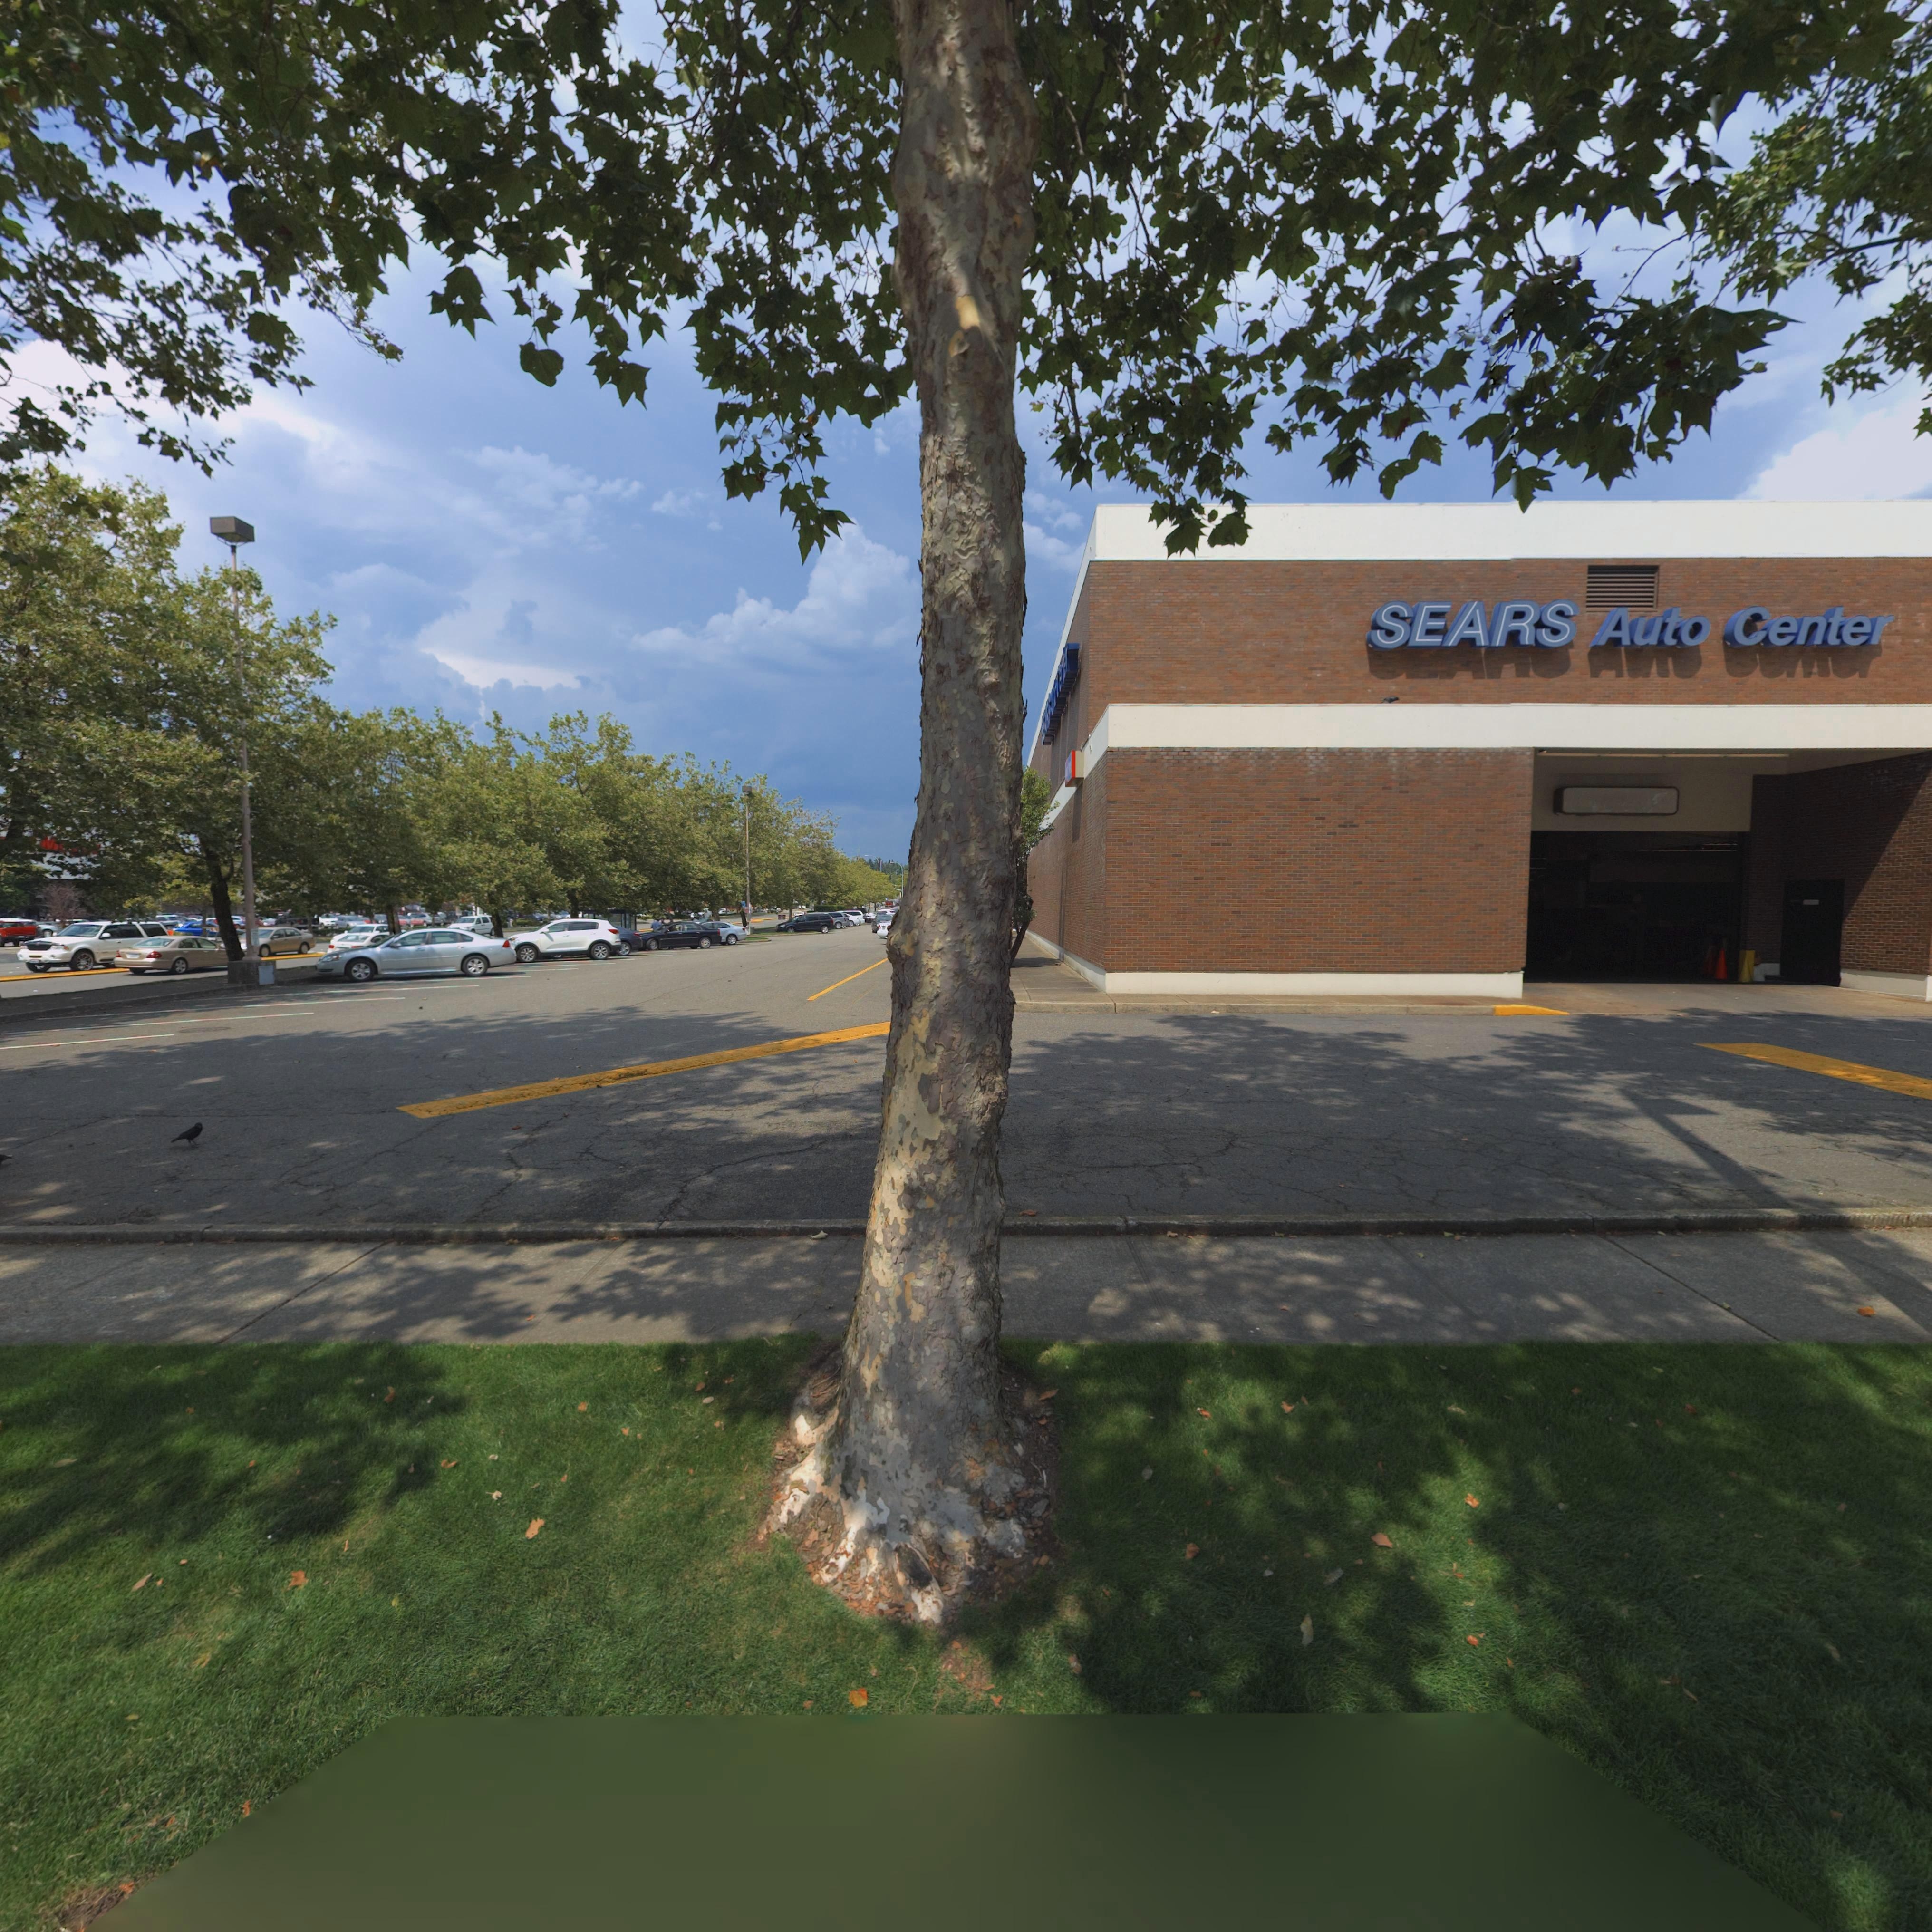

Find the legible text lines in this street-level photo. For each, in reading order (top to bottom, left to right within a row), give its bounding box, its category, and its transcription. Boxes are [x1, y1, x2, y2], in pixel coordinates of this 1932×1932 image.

[1367, 597, 1897, 650] BusinessName: SEARS Auto Center